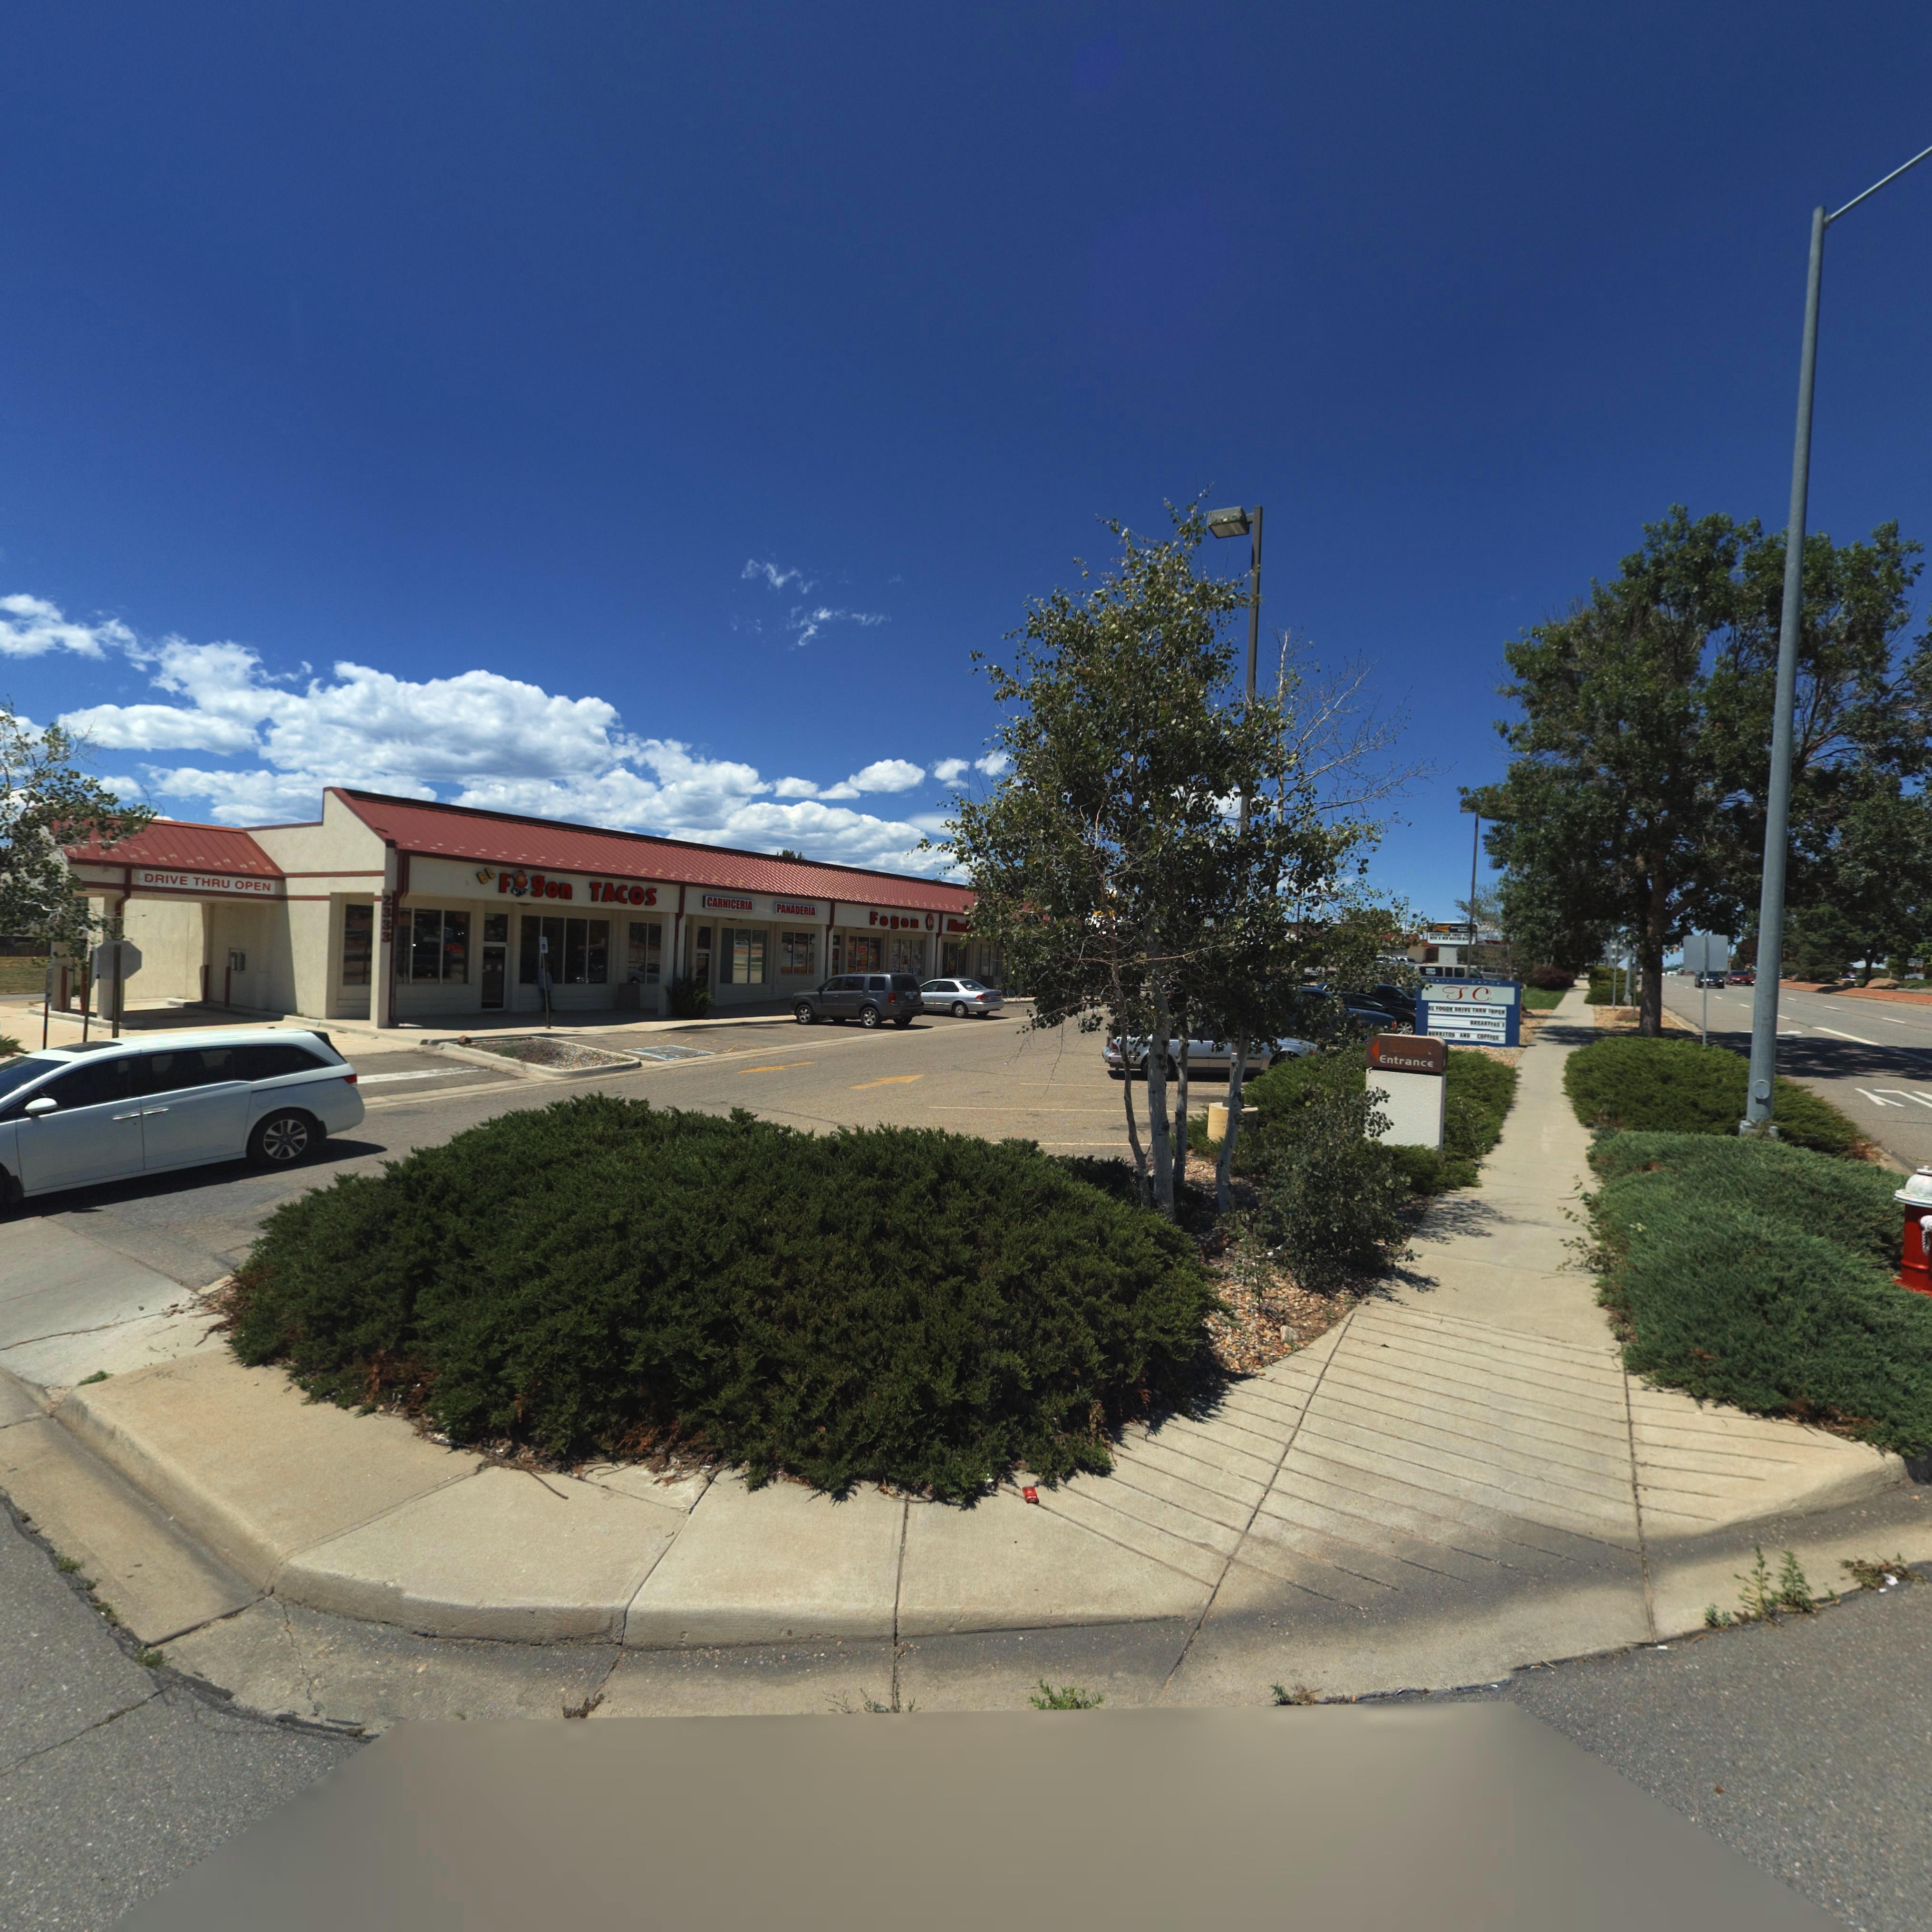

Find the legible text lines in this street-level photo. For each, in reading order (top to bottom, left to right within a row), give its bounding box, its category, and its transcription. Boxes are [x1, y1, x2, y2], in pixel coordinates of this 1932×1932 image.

[473, 866, 498, 885] BusinessName: EL
[497, 870, 659, 907] BusinessName: F*gon TACOS
[380, 894, 393, 943] StreetNumber: 2333
[869, 910, 920, 929] BusinessName: Fogon
[947, 918, 971, 932] BusinessName: M***
[1432, 926, 1449, 930] BusinessName: SONIC
[1440, 985, 1492, 1003] BusinessName: JC